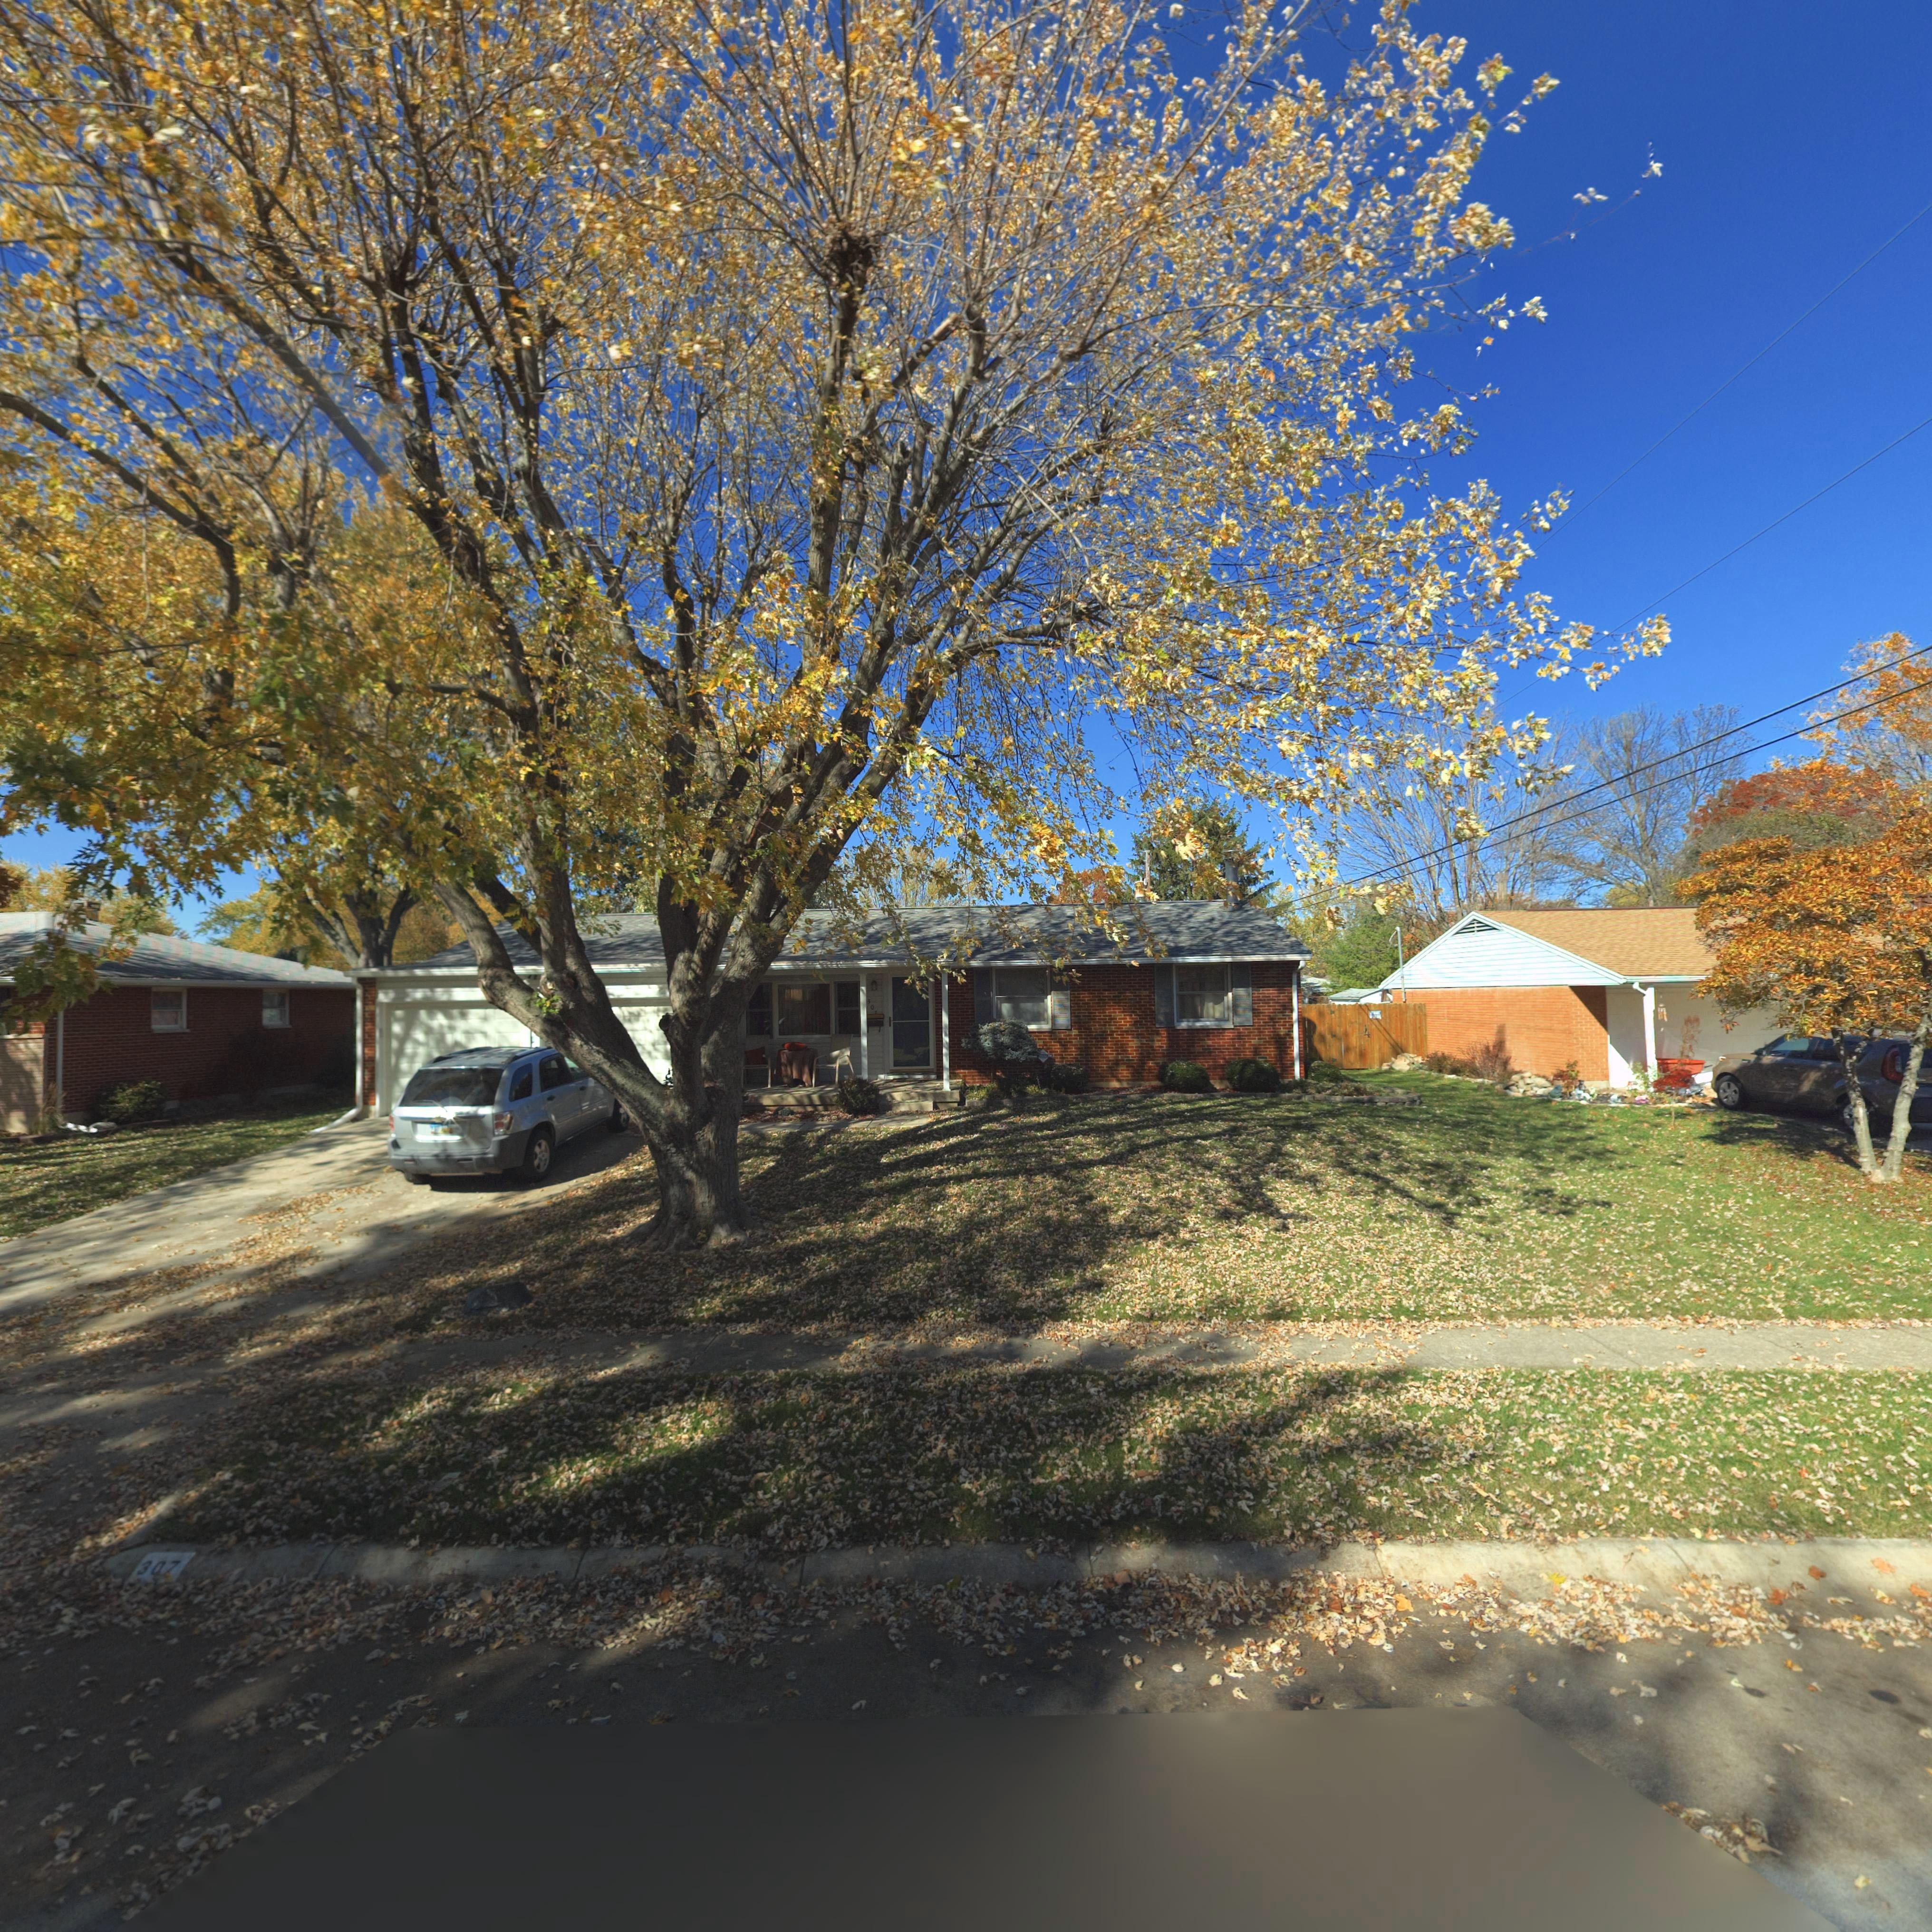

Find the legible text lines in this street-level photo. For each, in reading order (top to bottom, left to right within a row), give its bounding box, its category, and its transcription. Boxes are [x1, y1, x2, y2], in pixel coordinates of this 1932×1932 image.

[867, 997, 876, 1011] StreetNumber: 30
[134, 1558, 184, 1577] StreetNumber: 307